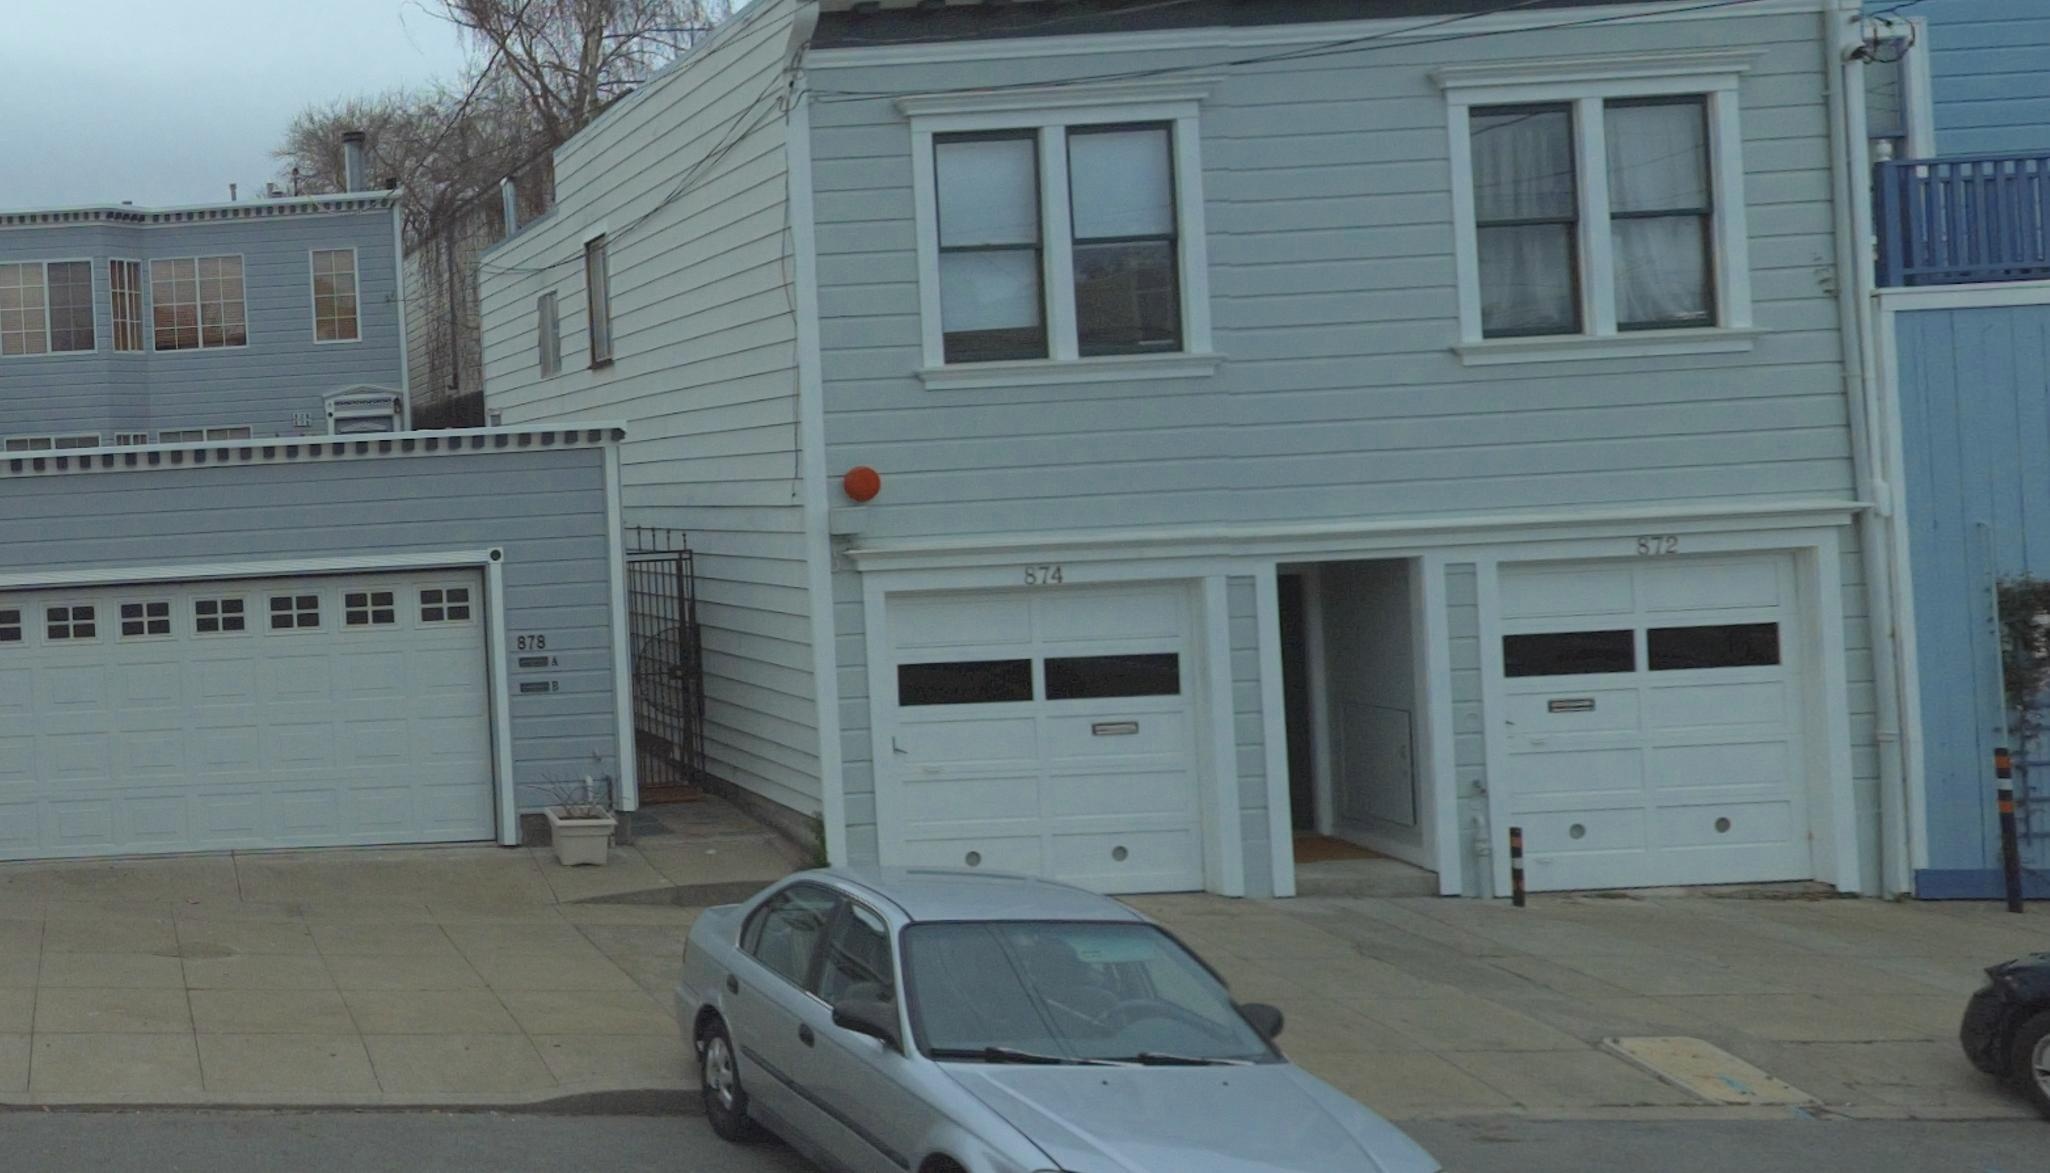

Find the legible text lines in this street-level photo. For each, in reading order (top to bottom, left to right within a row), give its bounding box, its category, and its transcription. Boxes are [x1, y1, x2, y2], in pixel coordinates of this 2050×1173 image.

[1636, 535, 1678, 555] StreetNumber: 872
[1023, 565, 1065, 586] StreetNumber: 874
[516, 635, 546, 650] StreetNumber: 878
[549, 655, 560, 667] StreetNumber: A
[550, 680, 560, 693] StreetNumber: B